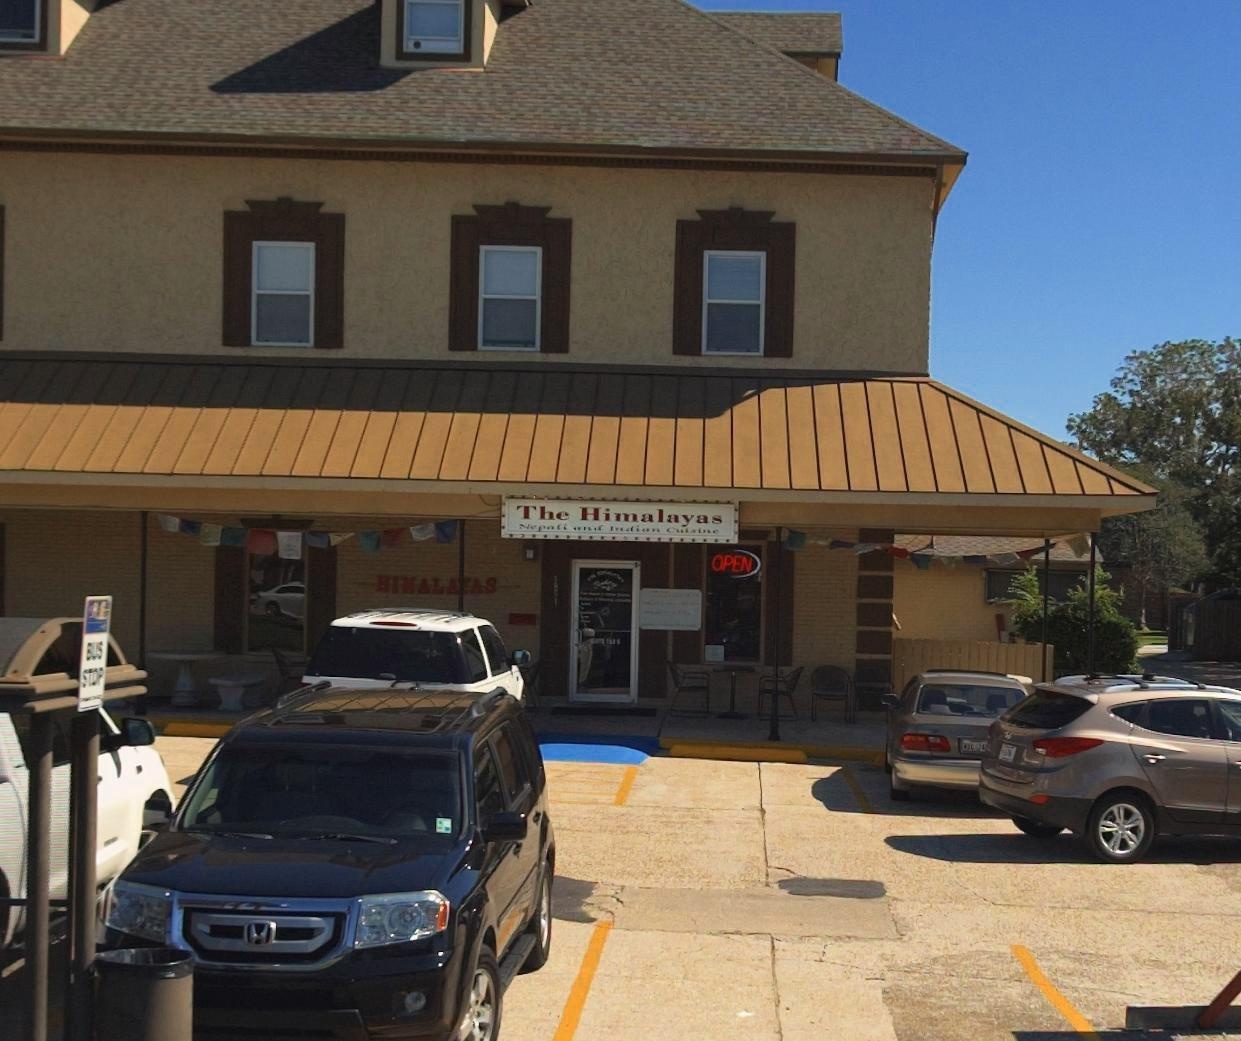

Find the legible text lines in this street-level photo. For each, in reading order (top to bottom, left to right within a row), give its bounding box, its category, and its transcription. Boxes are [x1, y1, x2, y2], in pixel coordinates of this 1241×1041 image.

[515, 503, 724, 529] BusinessName: The Himalayas
[517, 521, 720, 537] None: Nepali and Indian Cuisine
[708, 551, 755, 575] None: OPEN
[373, 573, 499, 598] BusinessName: HIMALA*AS
[85, 639, 105, 664] None: BUS
[81, 664, 106, 691] None: STOP
[248, 921, 271, 945] None: H